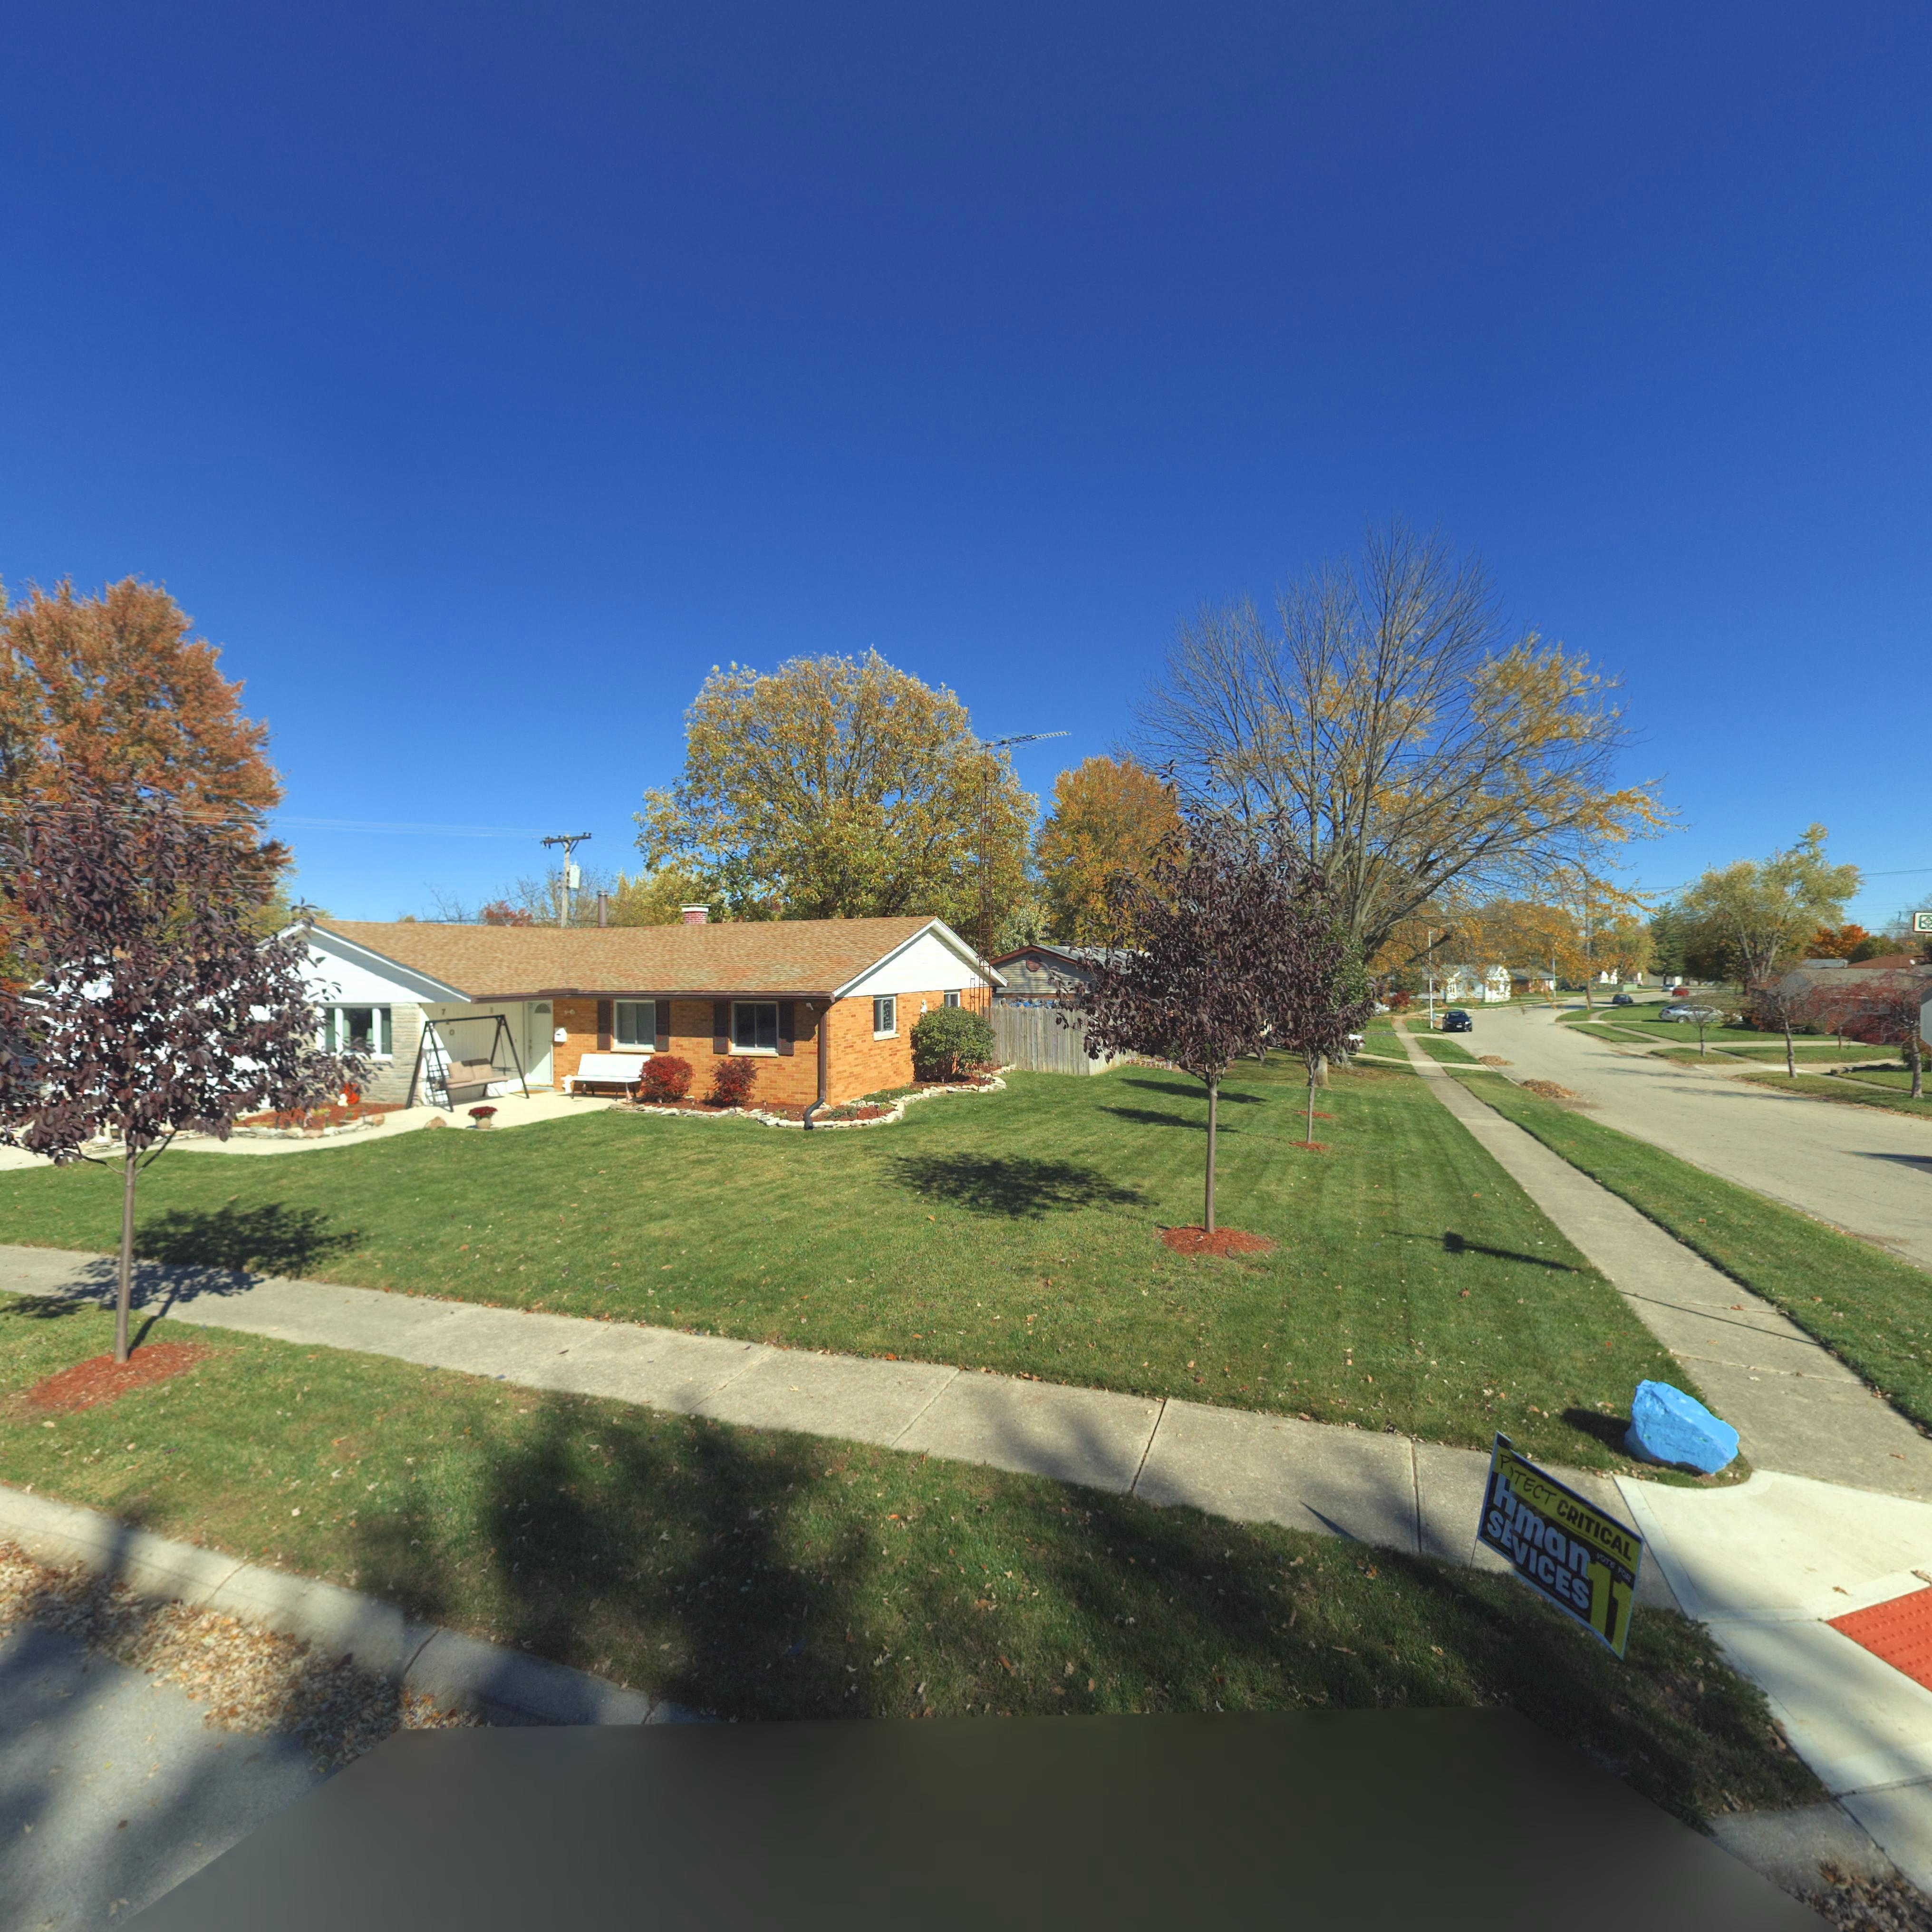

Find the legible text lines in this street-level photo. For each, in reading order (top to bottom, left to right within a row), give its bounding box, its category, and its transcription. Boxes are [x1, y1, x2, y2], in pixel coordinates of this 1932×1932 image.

[440, 1007, 456, 1037] StreetNumber: 7*0
[1498, 1451, 1513, 1471] None: P
[1486, 1508, 1505, 1540] None: S
[1511, 1531, 1592, 1612] None: VICES
[1512, 1500, 1594, 1584] None: man
[1512, 1467, 1633, 1564] None: TECT CRITICAL
[1585, 1557, 1635, 1662] None: 11
[1595, 1550, 1634, 1584] None: VOTE FOR